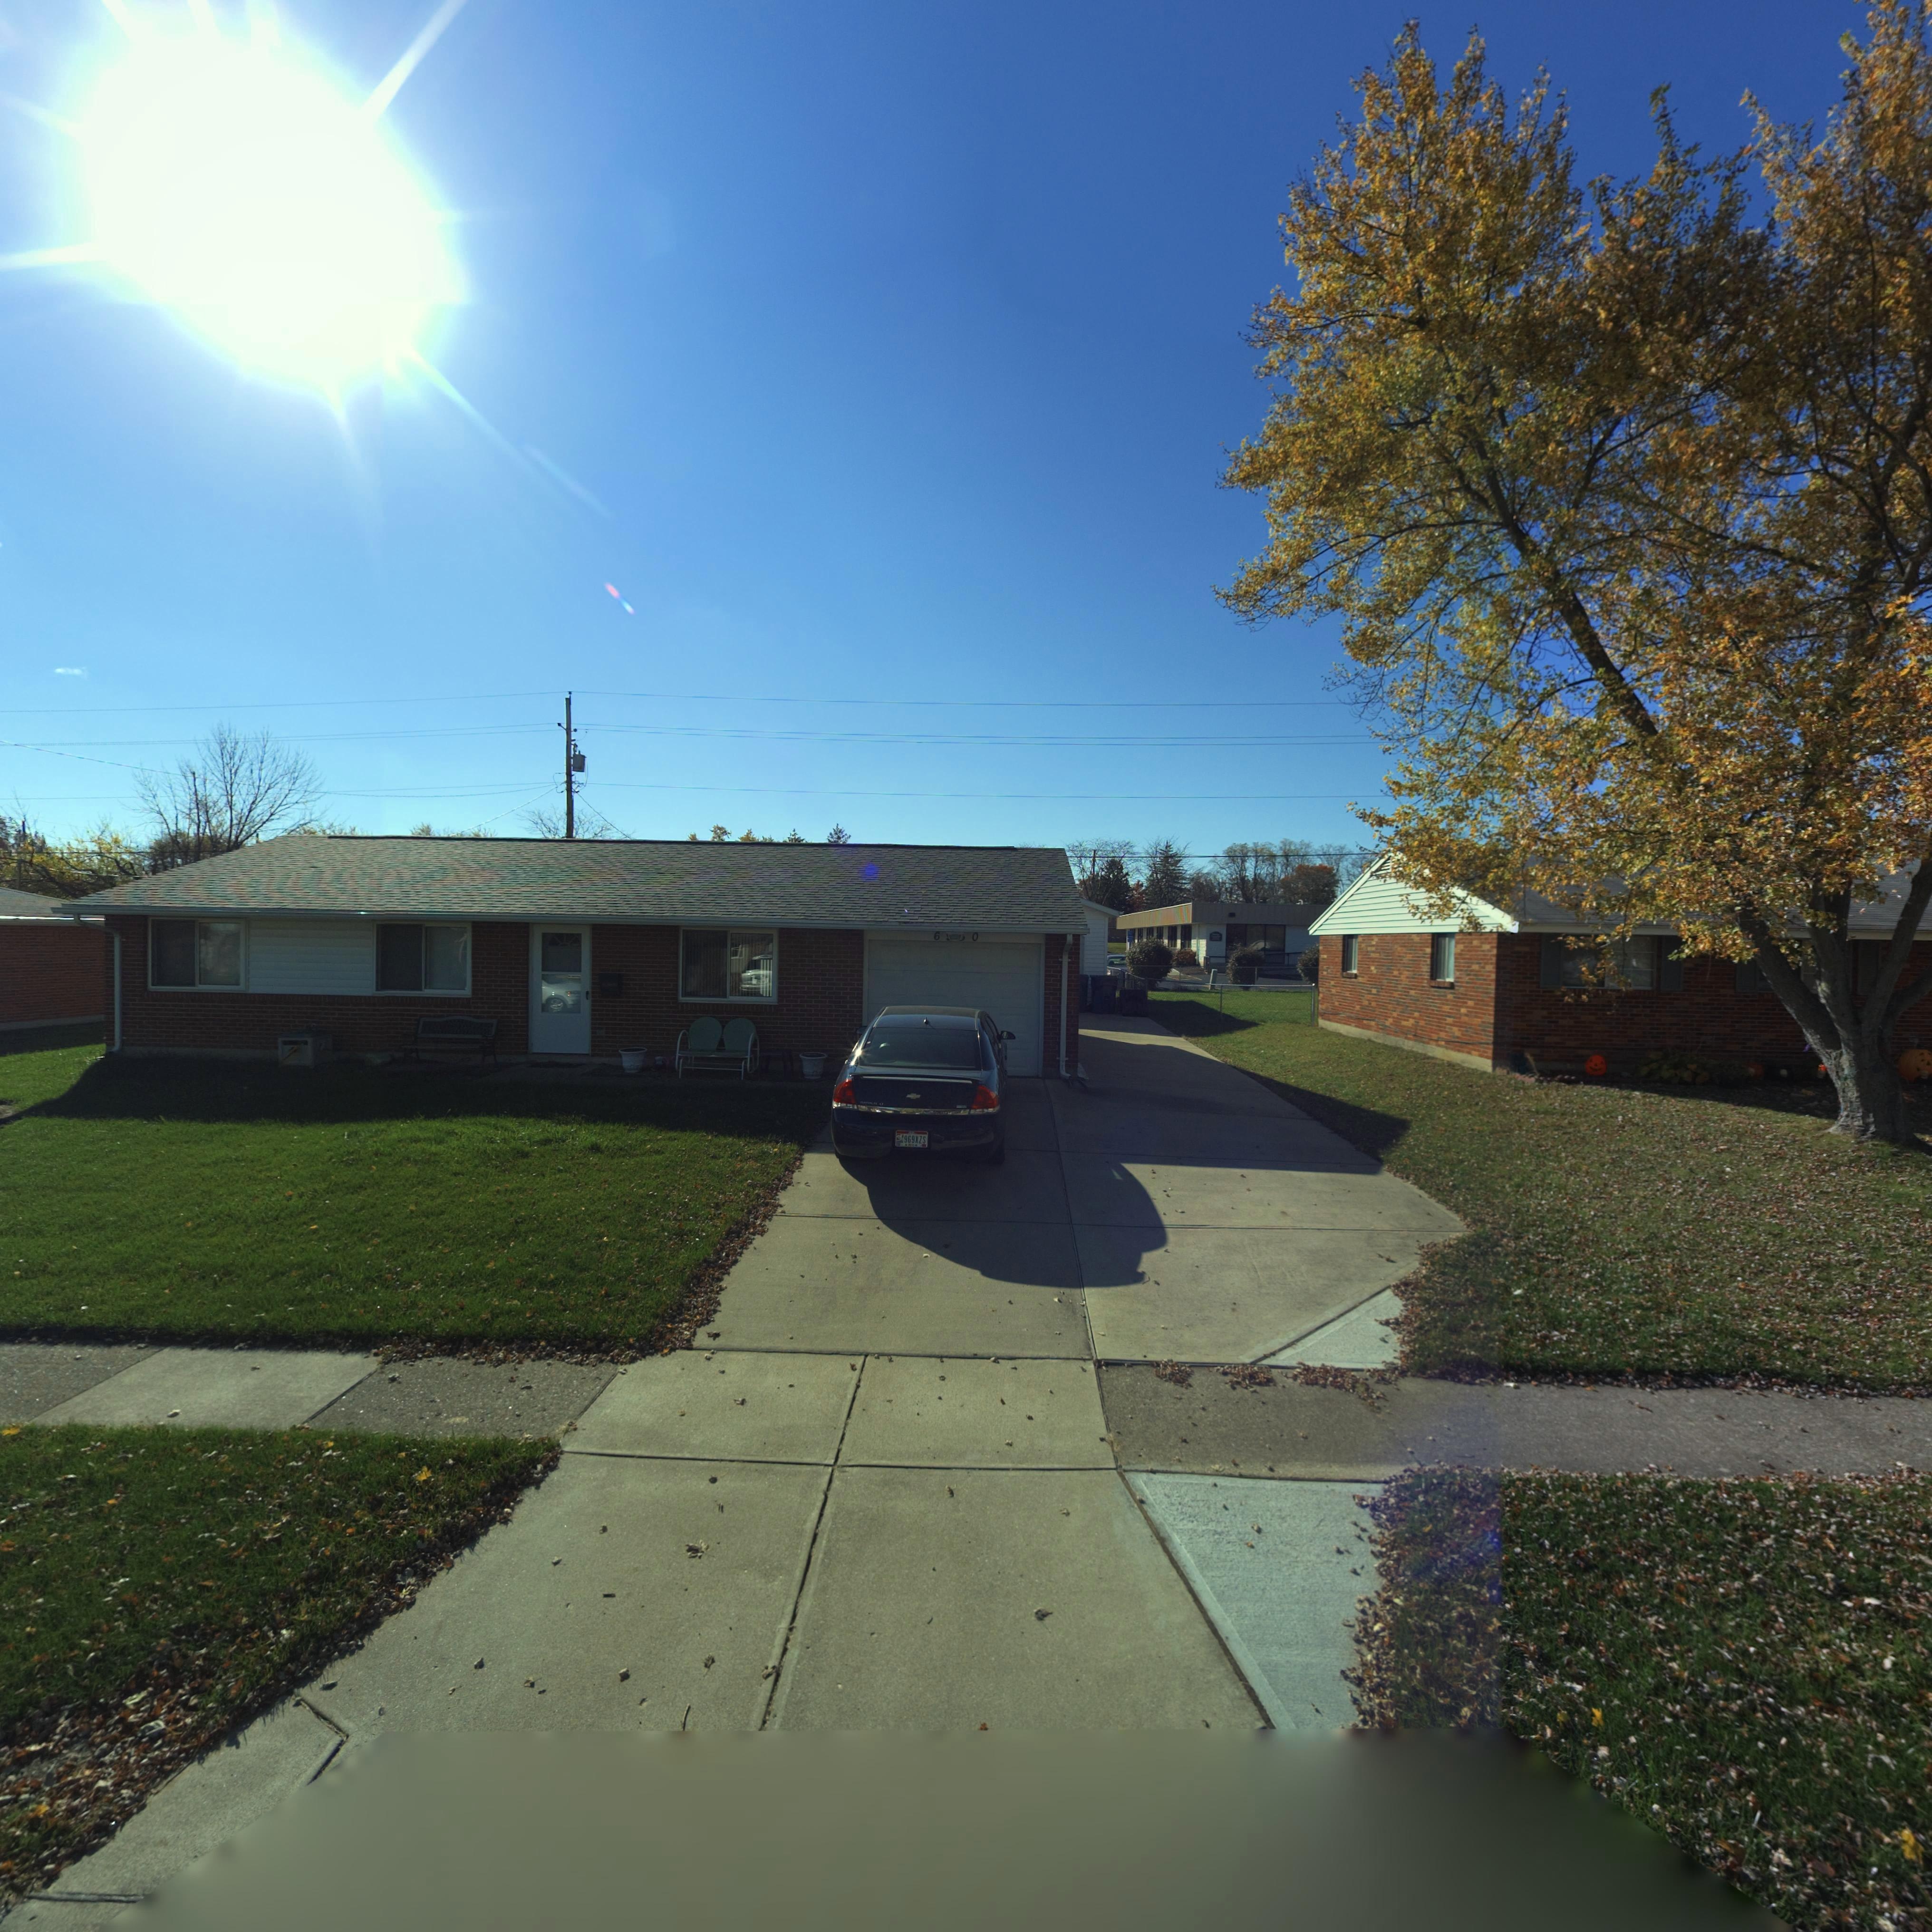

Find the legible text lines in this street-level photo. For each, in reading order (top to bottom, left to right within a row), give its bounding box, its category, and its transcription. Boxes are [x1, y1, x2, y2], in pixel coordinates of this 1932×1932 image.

[932, 931, 979, 942] StreetNumber: 6**0